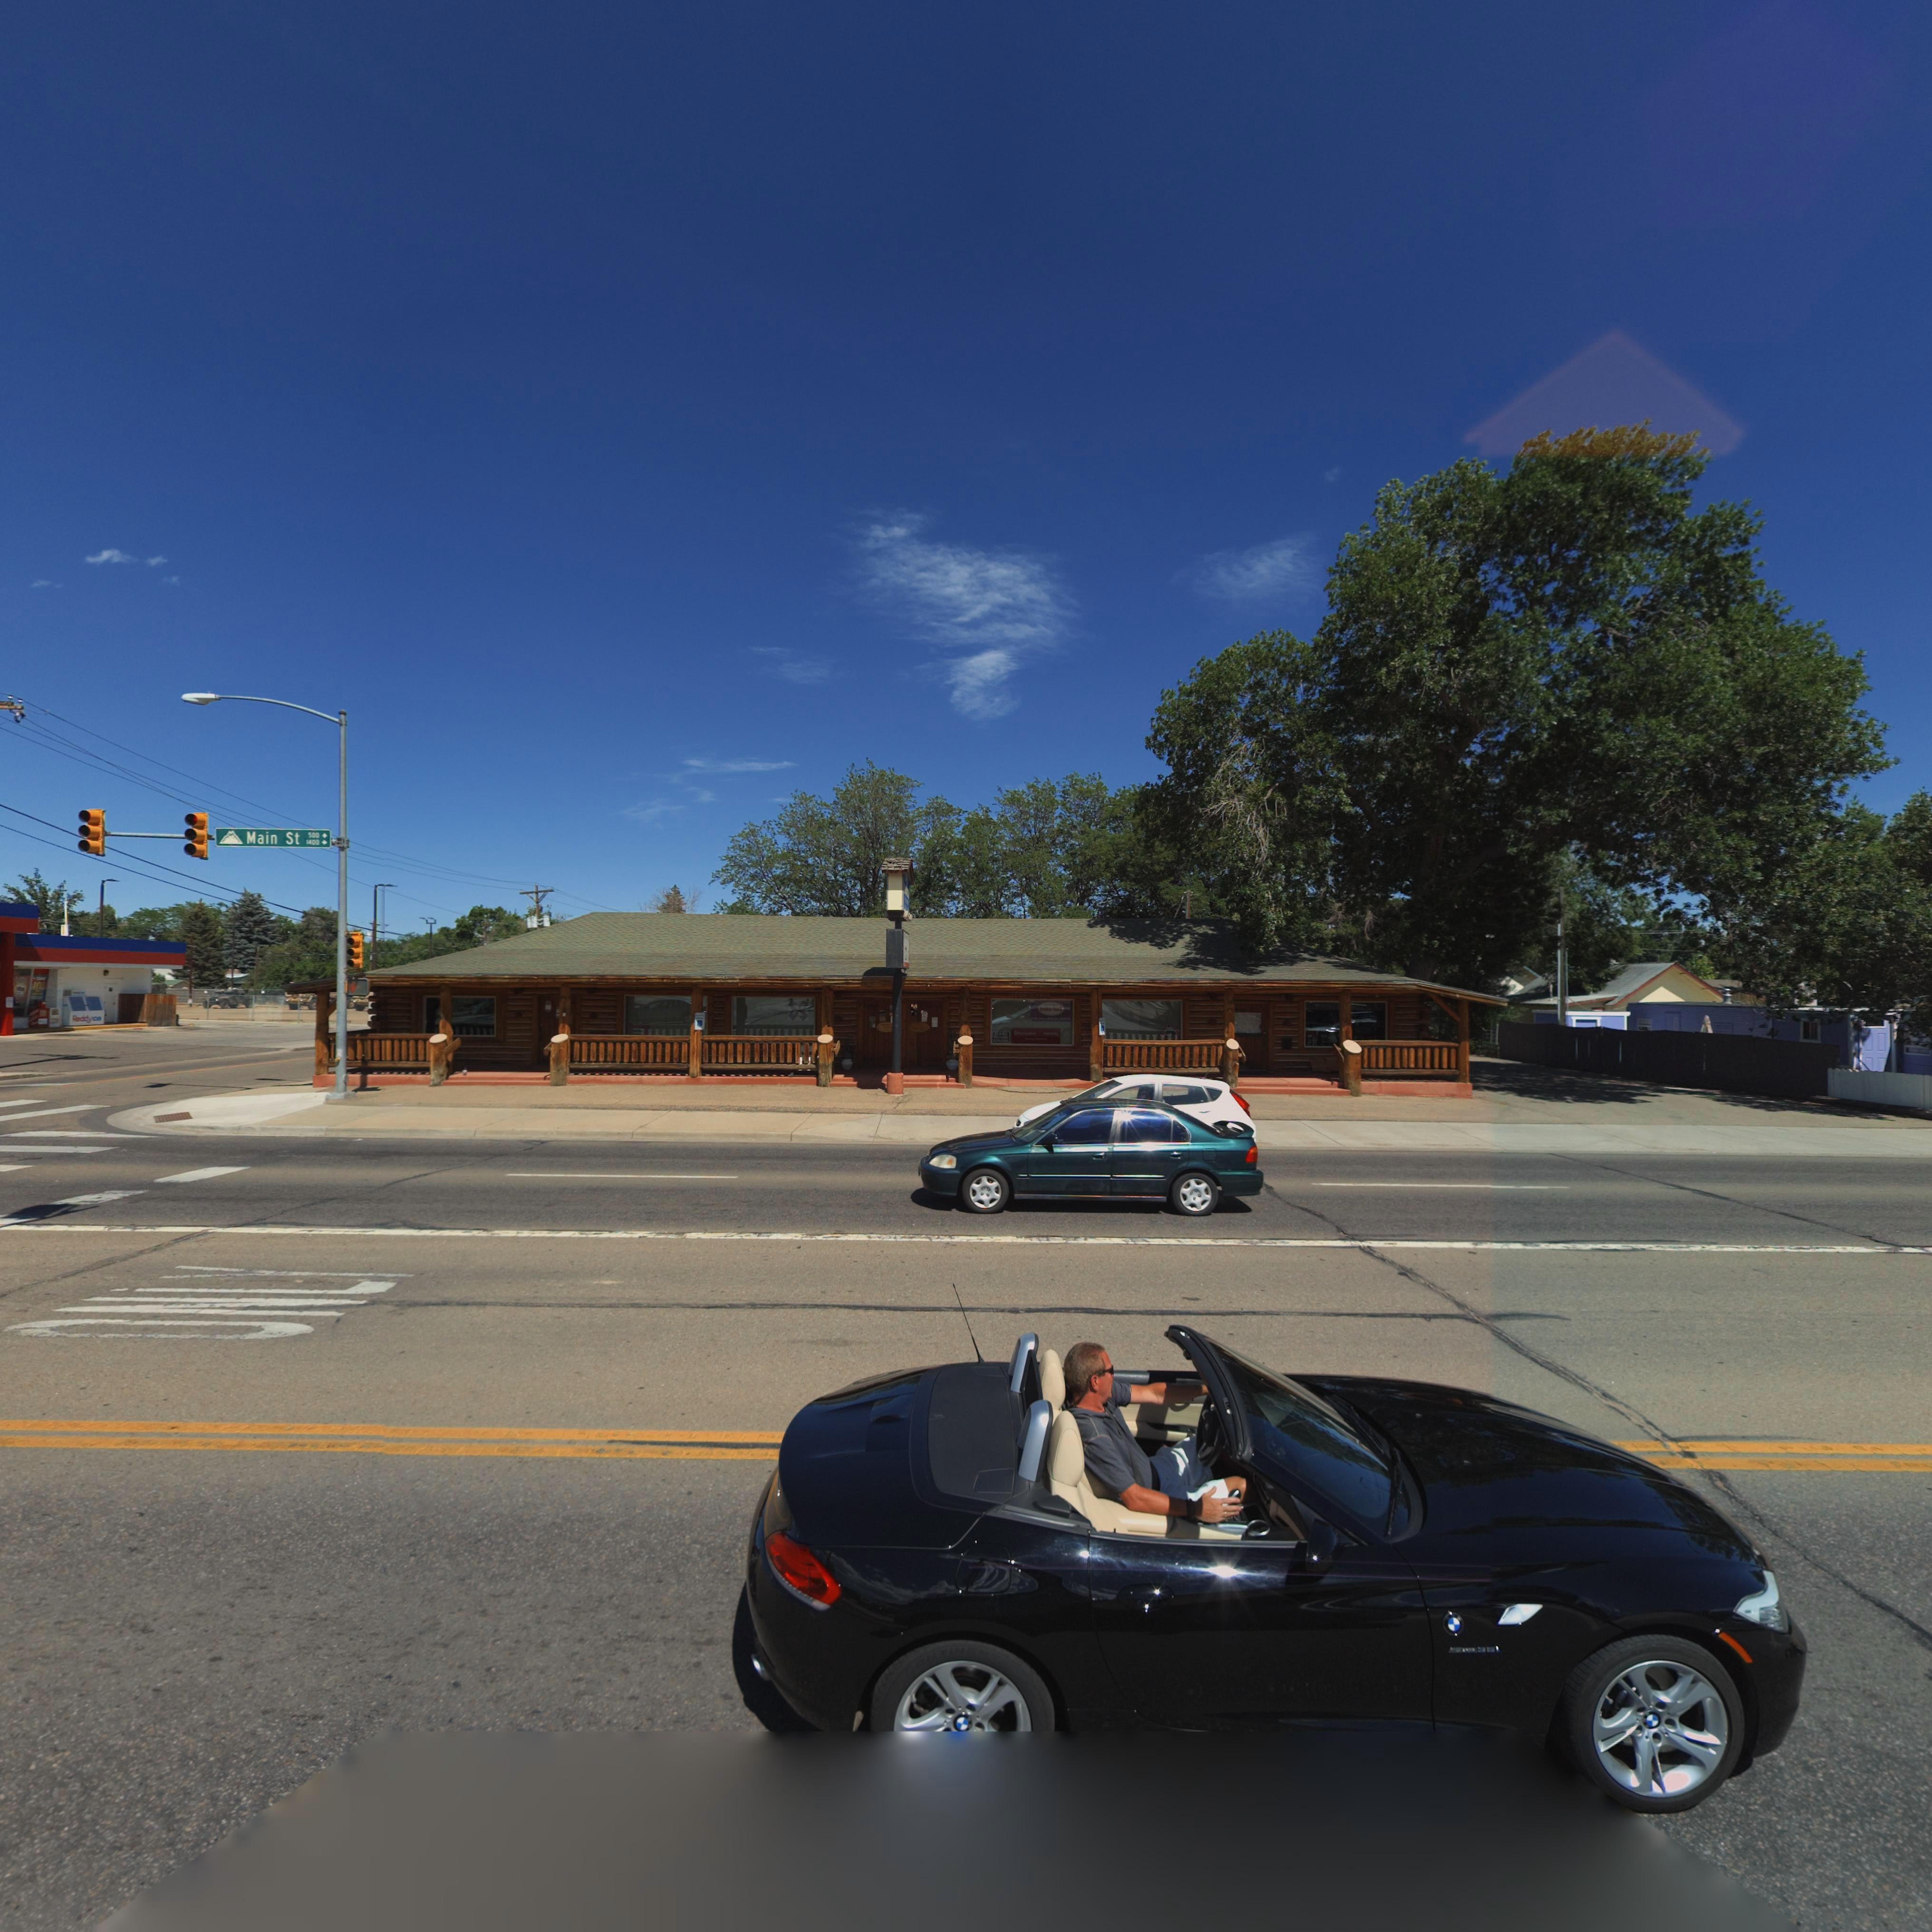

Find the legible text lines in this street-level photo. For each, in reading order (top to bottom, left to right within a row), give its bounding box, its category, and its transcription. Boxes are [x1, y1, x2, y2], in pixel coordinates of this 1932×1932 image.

[246, 831, 300, 845] StreetName: Main St
[308, 832, 319, 838] StreetNumberRange: 500
[305, 839, 328, 845] StreetNumberRange: 1400->